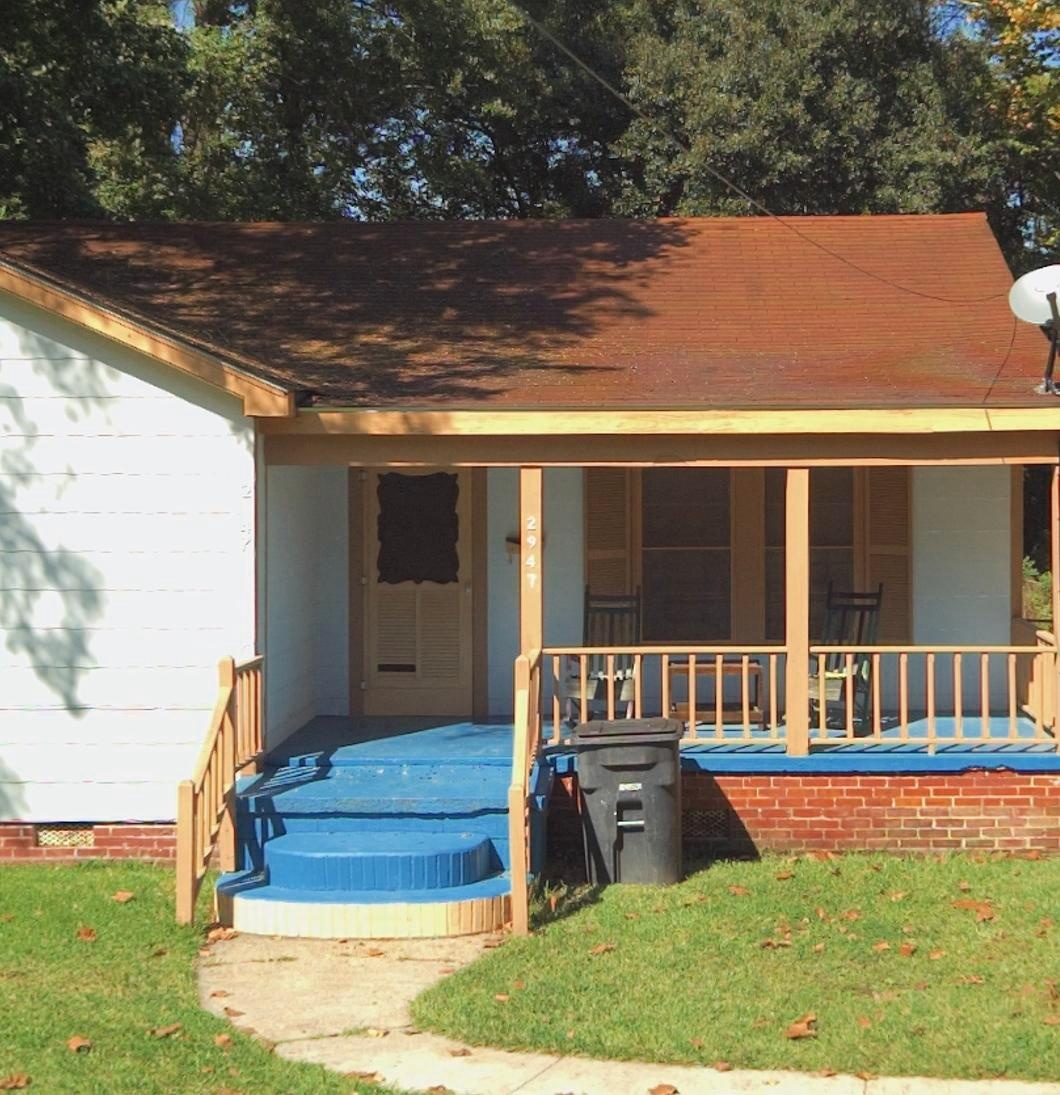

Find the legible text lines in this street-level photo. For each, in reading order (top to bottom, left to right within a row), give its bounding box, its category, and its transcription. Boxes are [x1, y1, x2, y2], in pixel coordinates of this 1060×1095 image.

[525, 515, 538, 591] StreetNumber: 2947